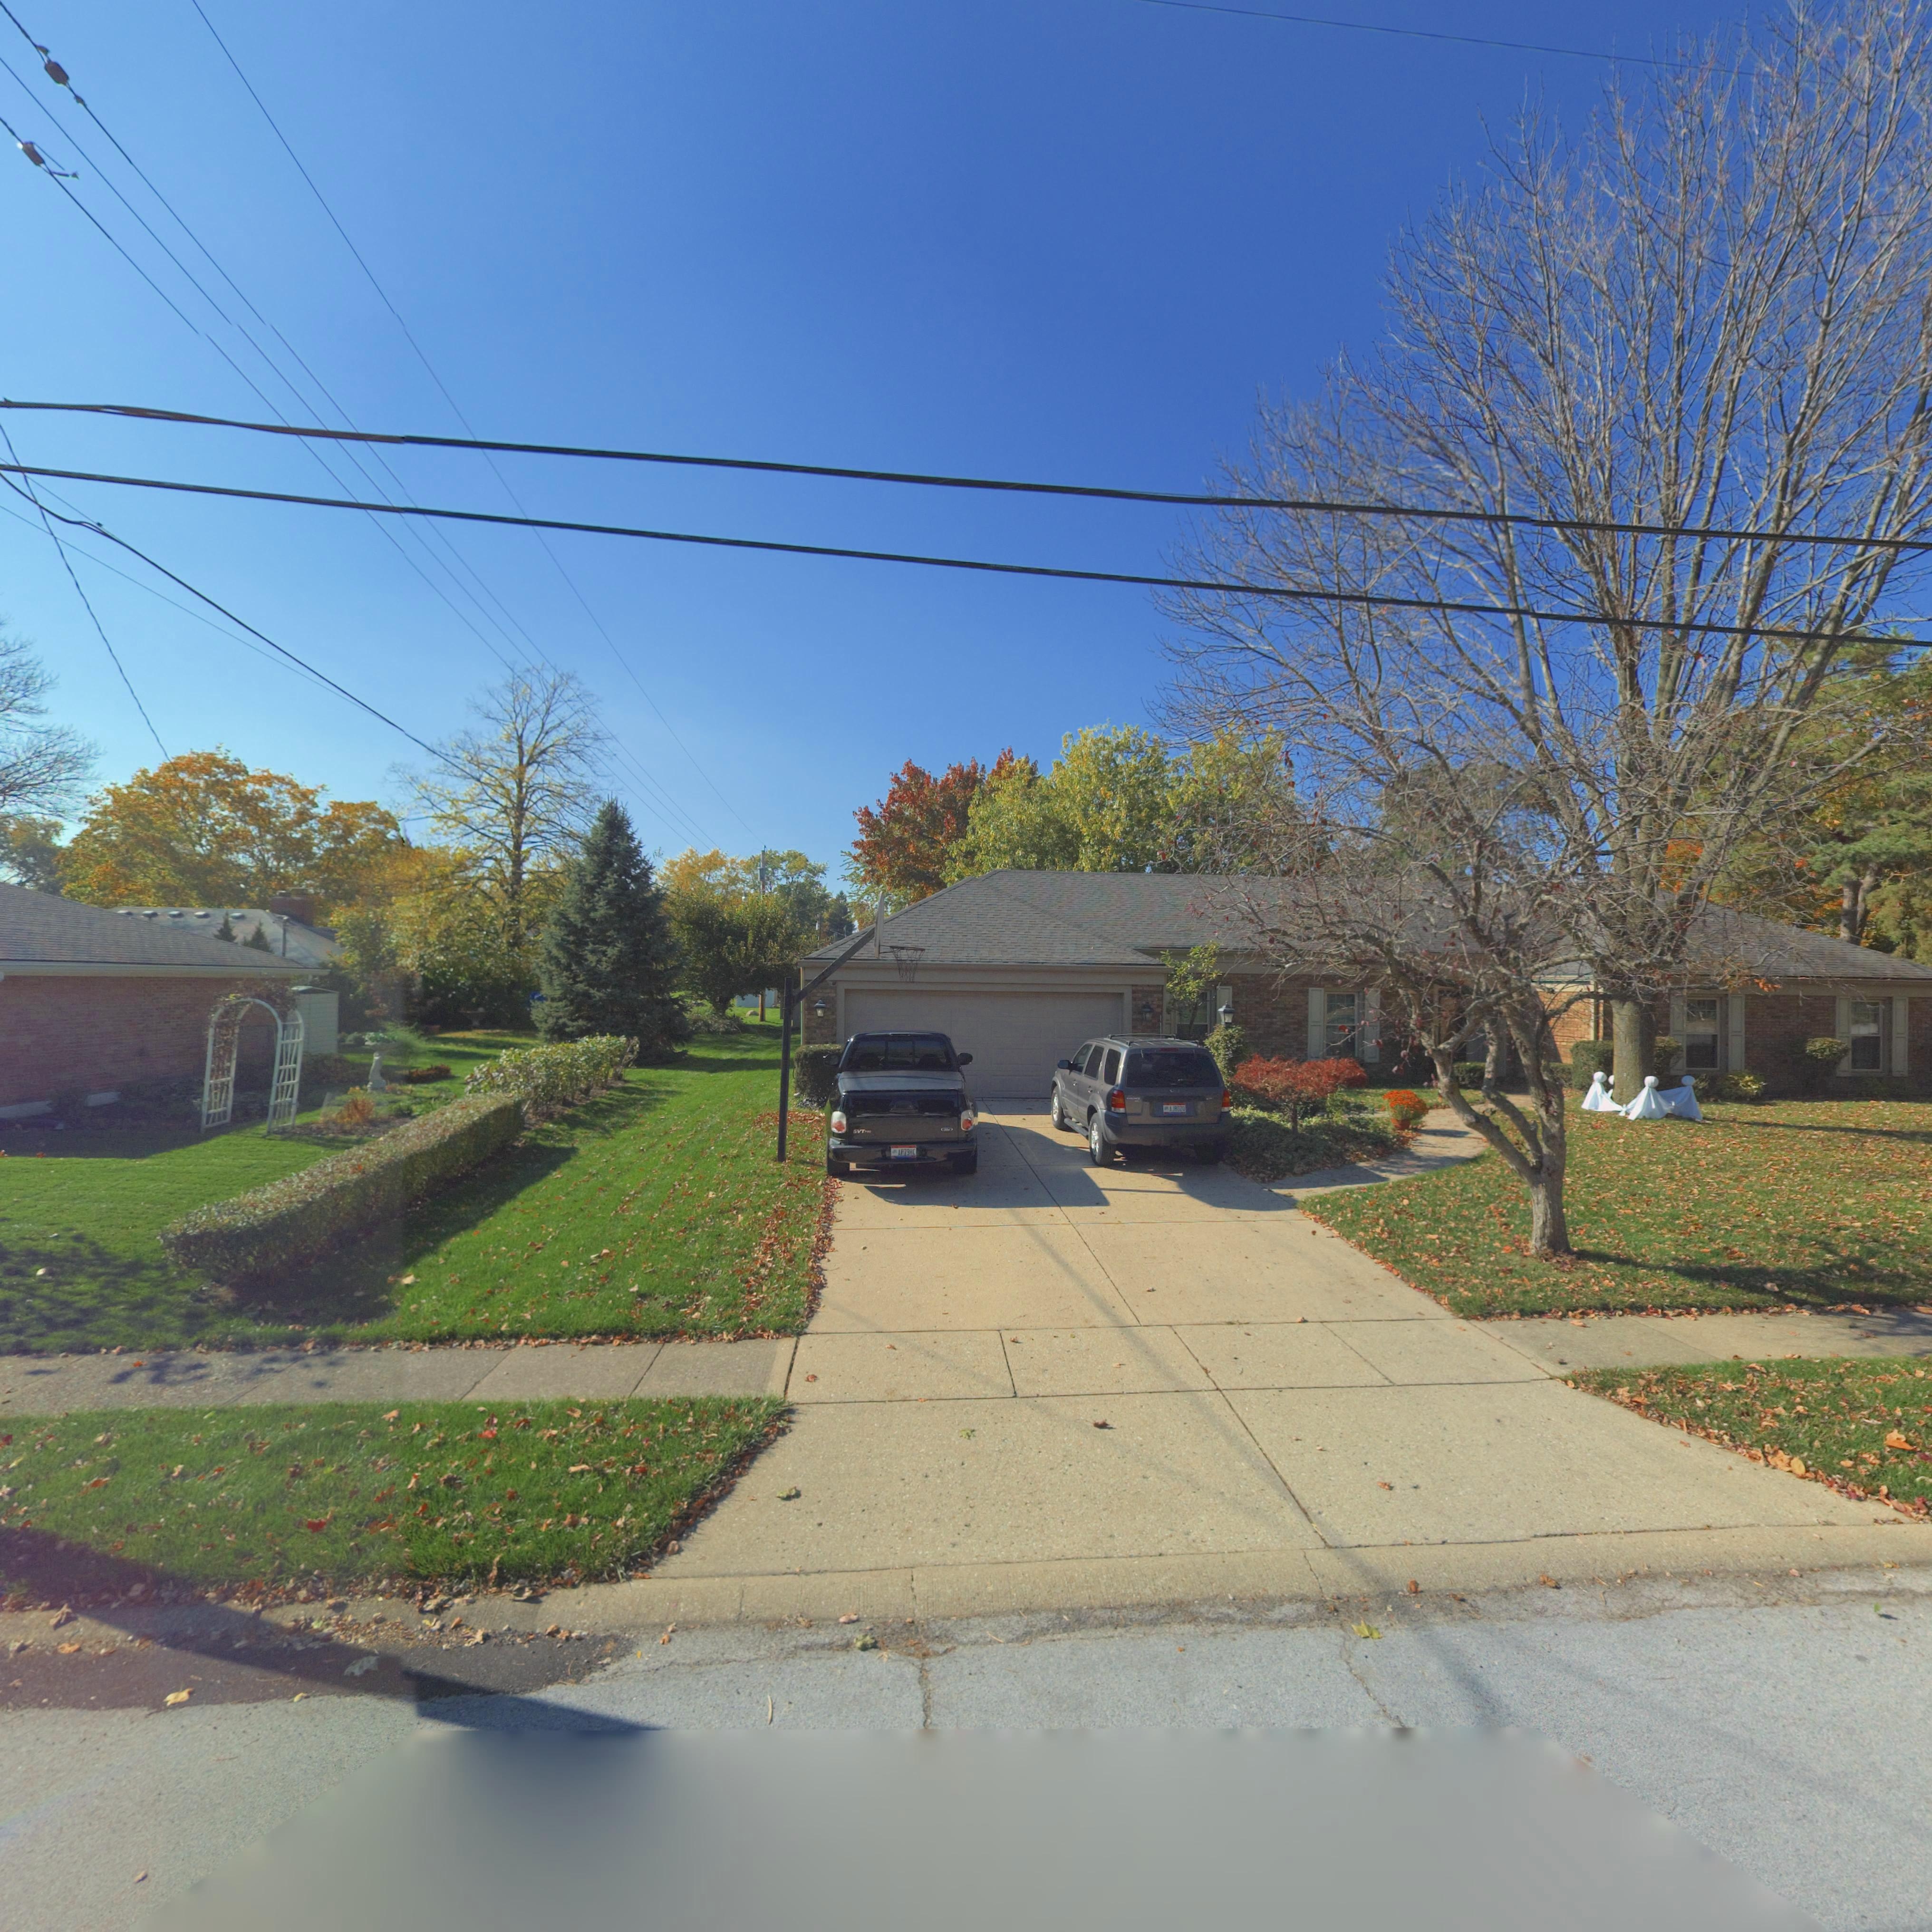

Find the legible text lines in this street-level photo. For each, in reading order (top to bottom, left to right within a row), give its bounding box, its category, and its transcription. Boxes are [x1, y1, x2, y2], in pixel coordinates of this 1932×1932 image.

[1169, 1105, 1185, 1111] None: AJ8020
[853, 1129, 865, 1134] None: SVT
[898, 1148, 915, 1156] None: AP79HC